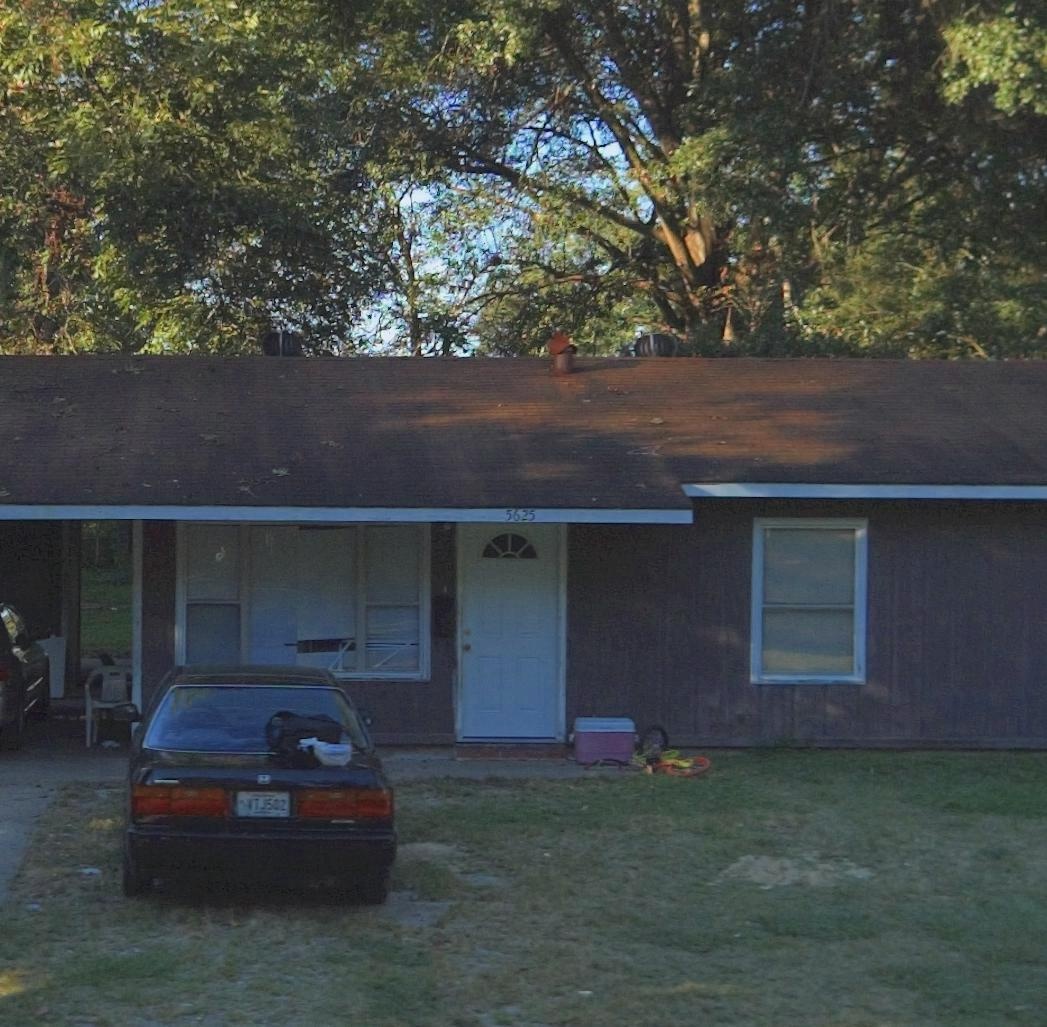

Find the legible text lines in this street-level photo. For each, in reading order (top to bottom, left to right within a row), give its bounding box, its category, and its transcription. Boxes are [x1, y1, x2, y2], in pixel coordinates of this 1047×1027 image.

[505, 509, 535, 522] StreetNumber: 5625
[241, 798, 286, 811] None: *ITJ502